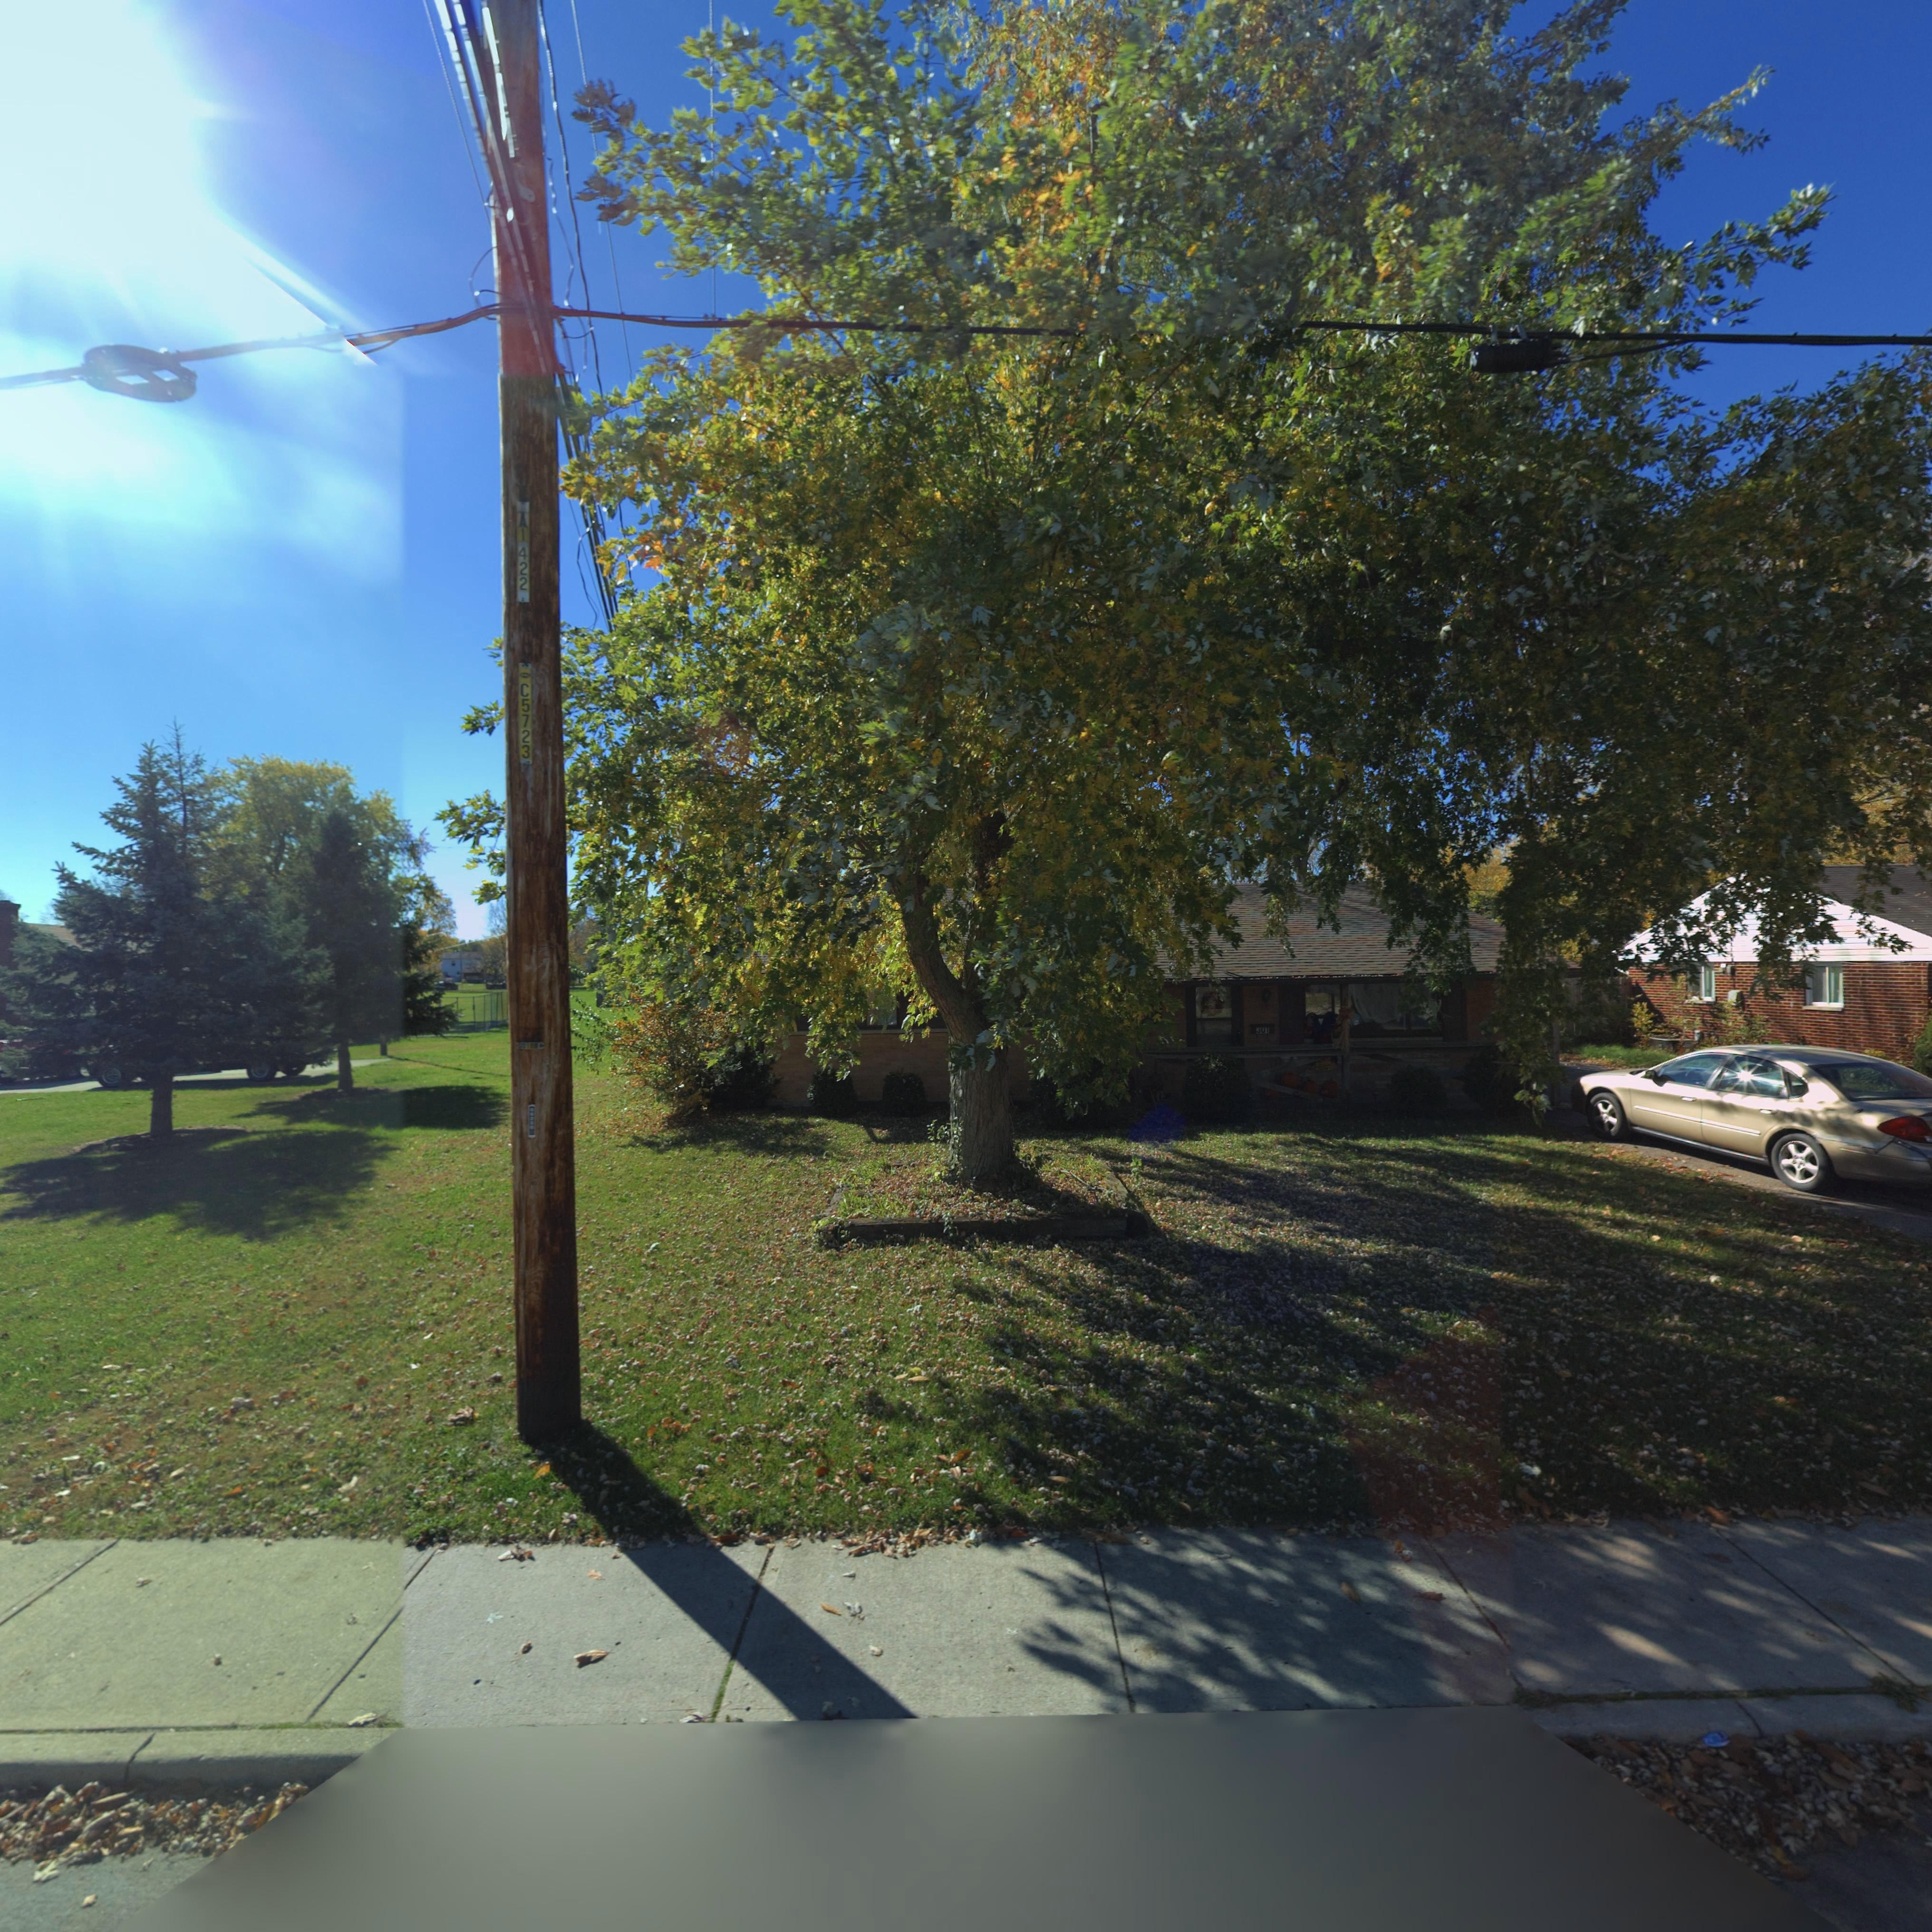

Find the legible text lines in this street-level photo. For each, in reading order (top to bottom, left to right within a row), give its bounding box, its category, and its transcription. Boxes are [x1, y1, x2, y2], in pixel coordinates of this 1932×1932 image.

[1256, 1026, 1269, 1034] StreetNumber: 301